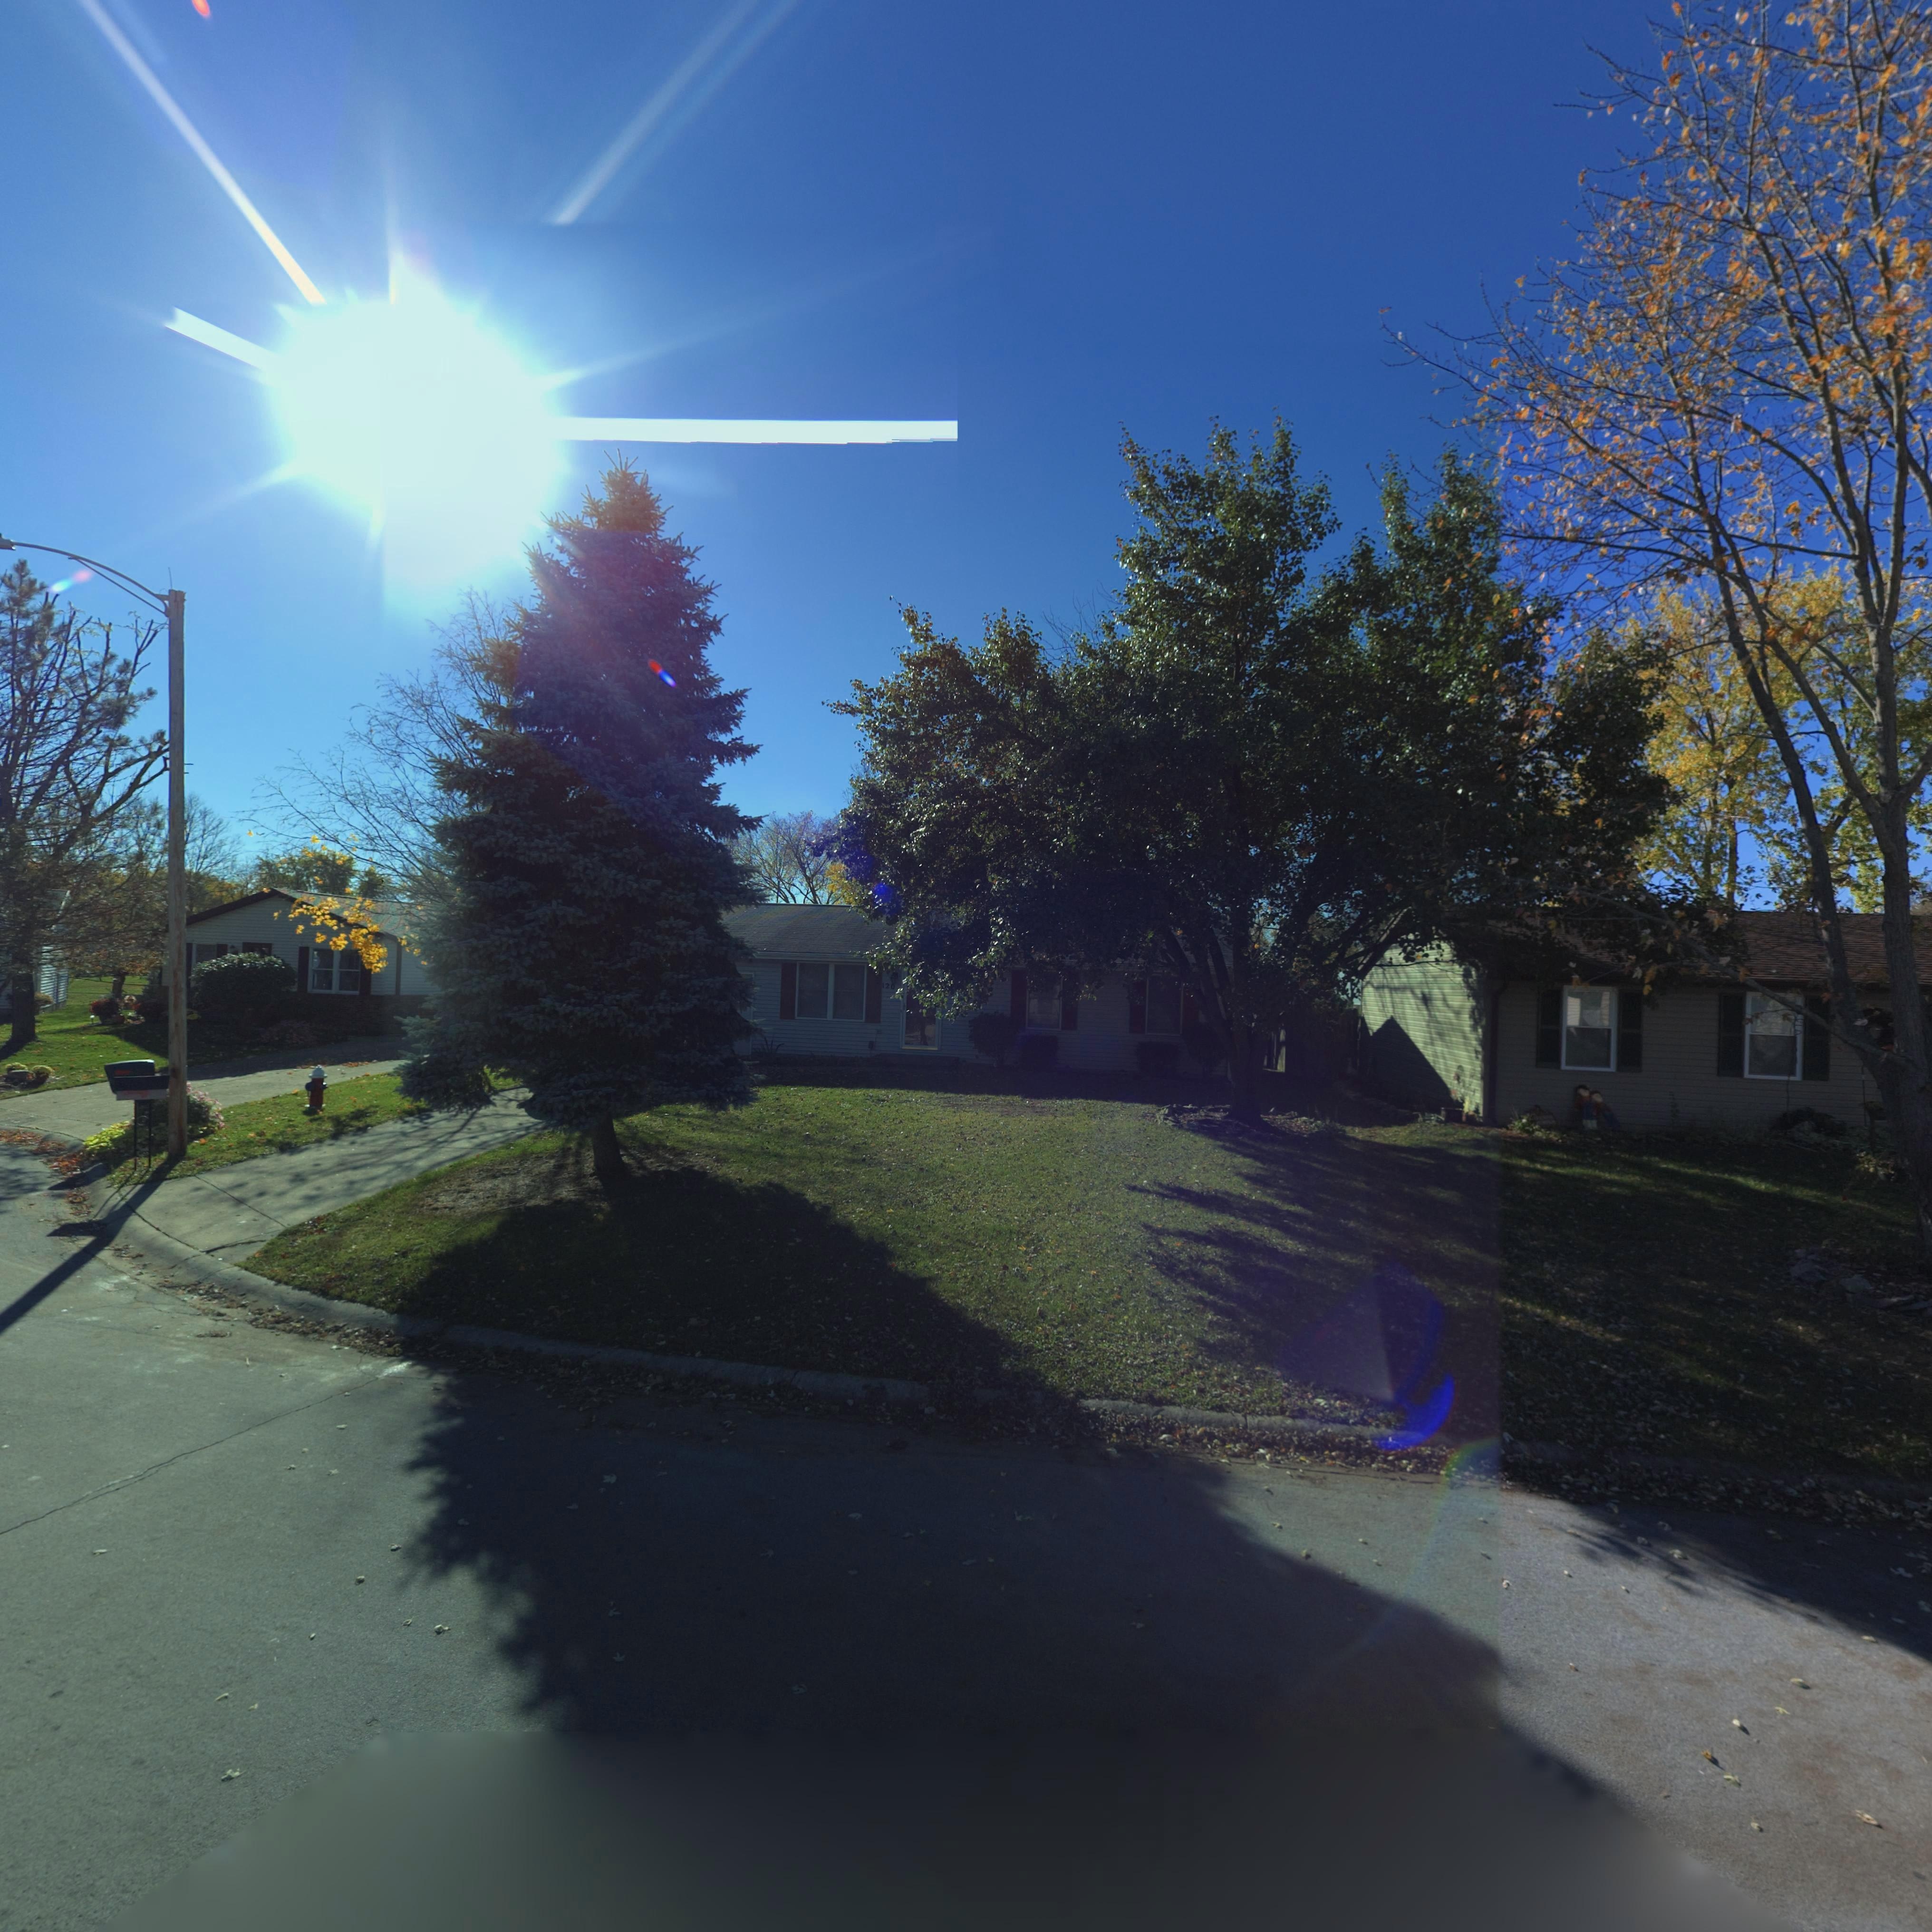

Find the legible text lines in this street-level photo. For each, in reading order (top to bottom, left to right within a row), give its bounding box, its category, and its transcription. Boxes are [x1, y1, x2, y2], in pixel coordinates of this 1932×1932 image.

[882, 982, 895, 990] StreetNumber: 120